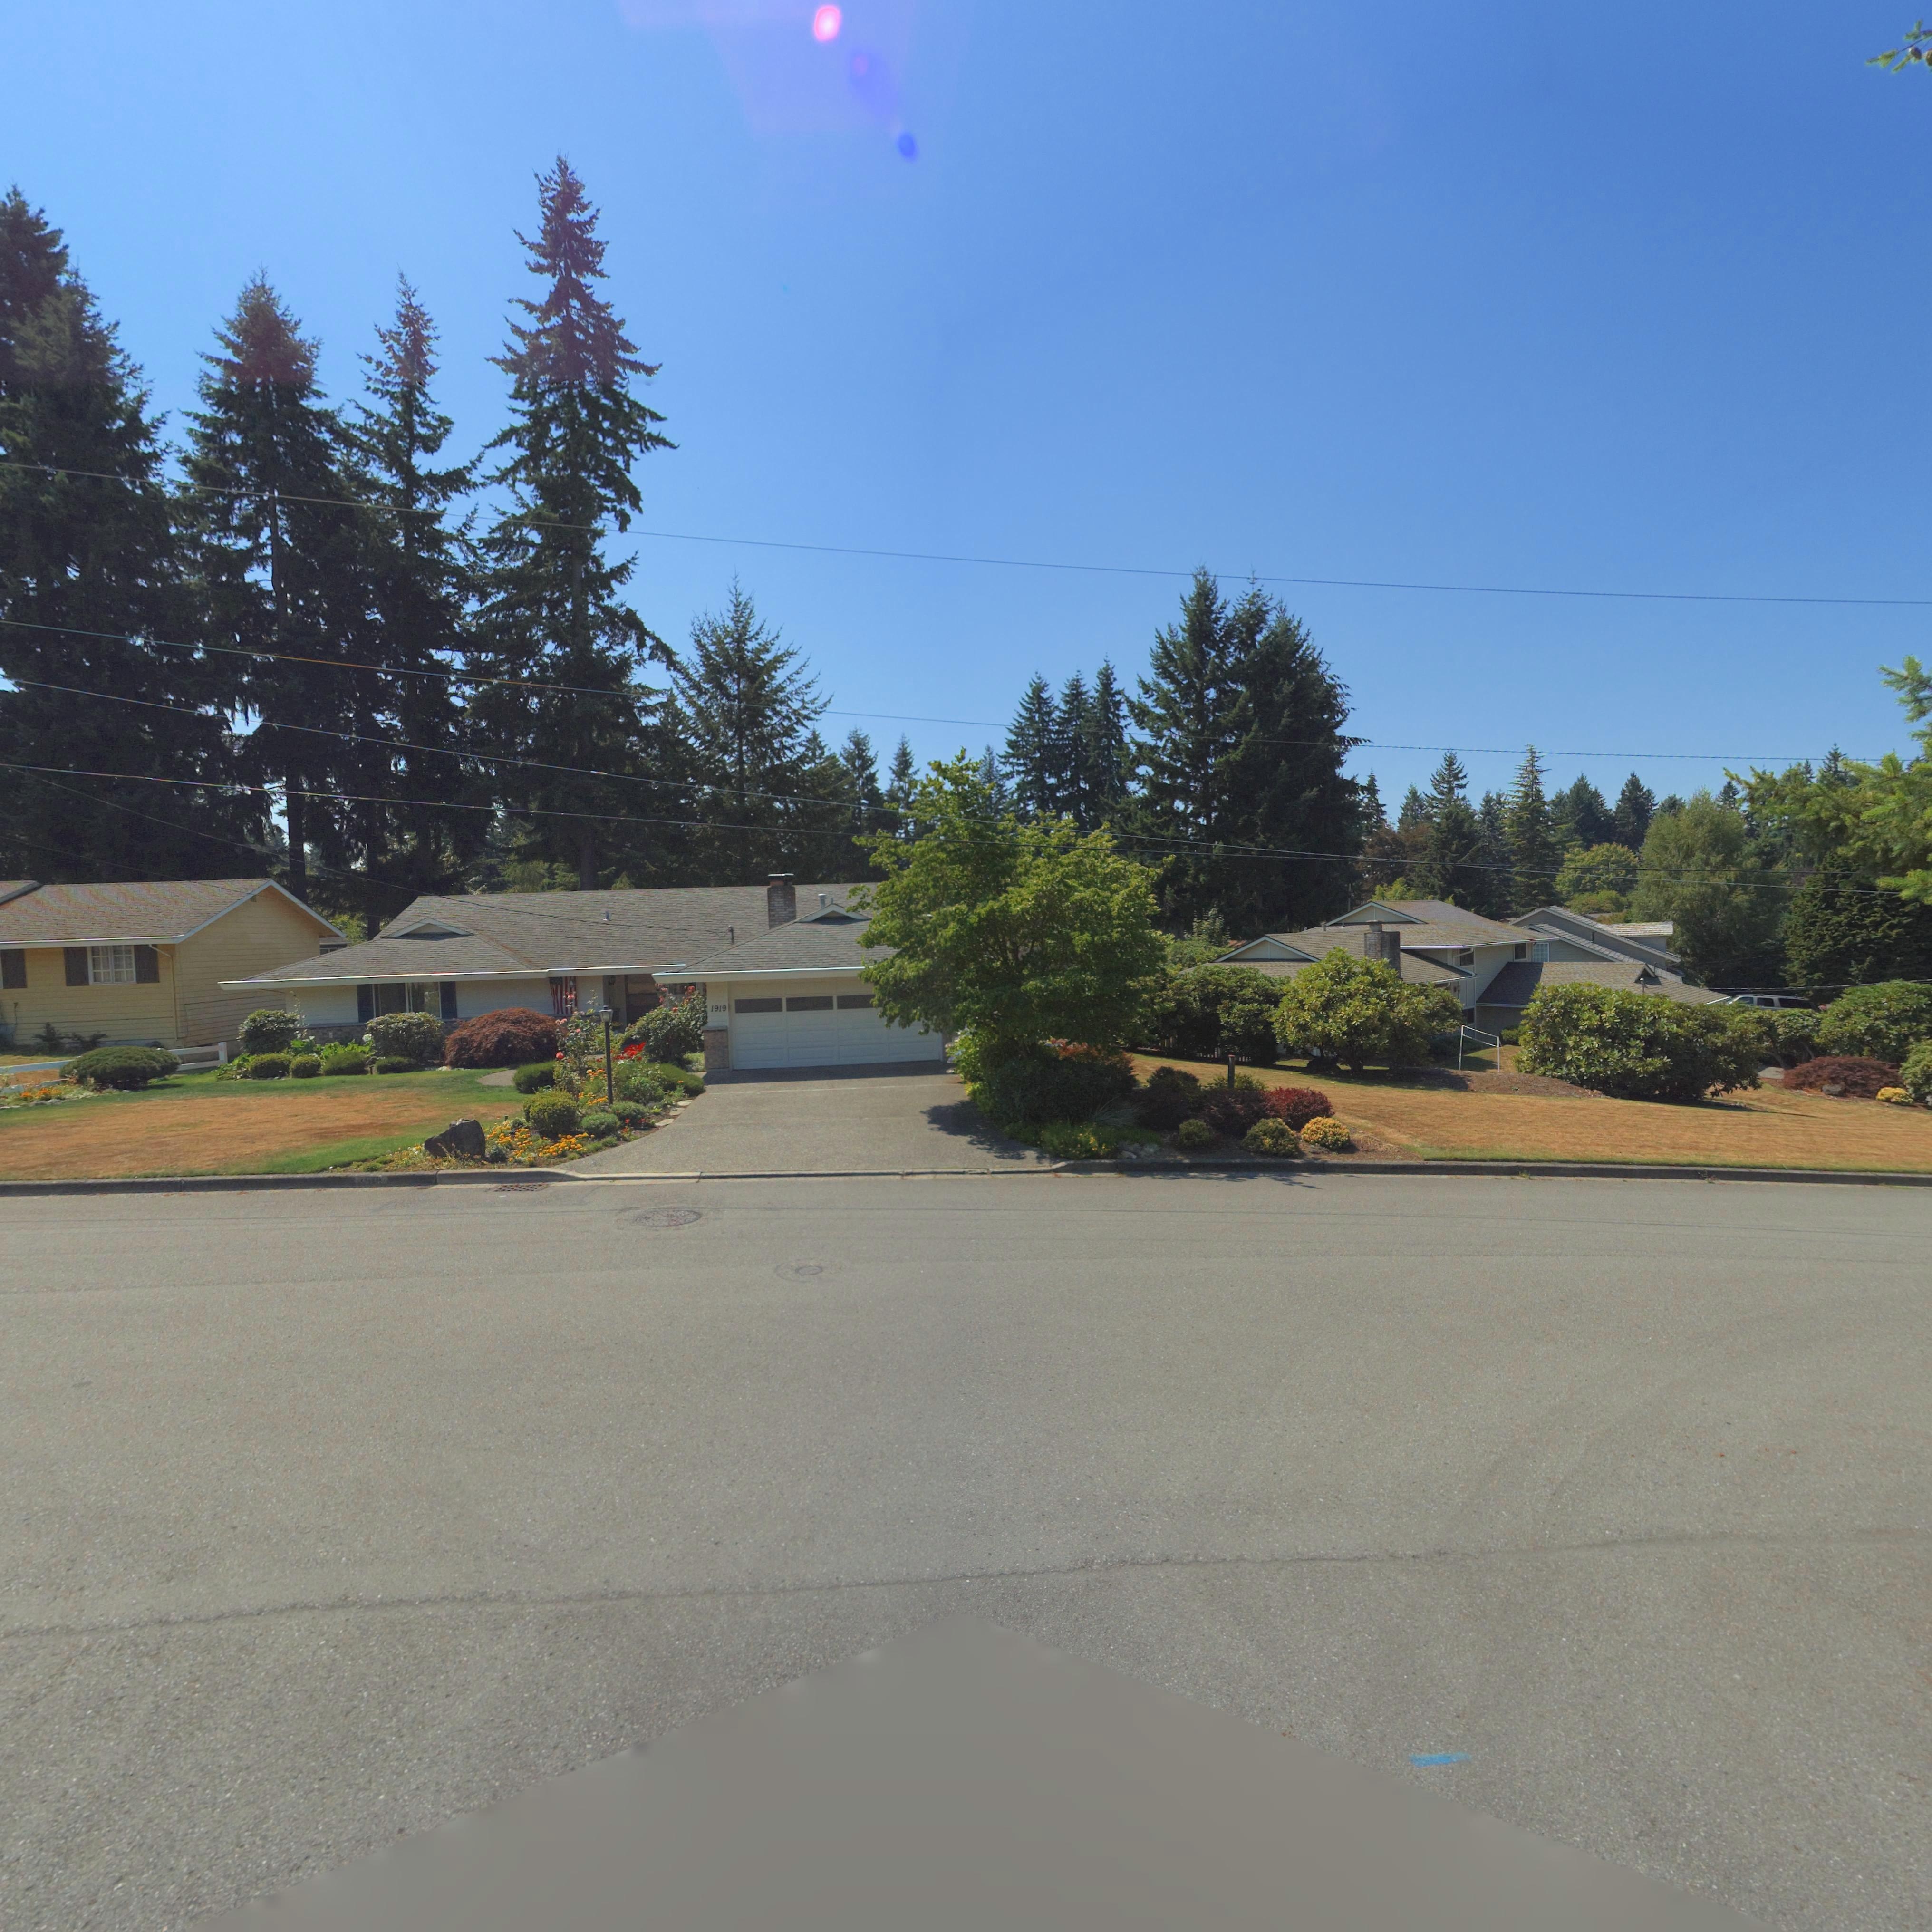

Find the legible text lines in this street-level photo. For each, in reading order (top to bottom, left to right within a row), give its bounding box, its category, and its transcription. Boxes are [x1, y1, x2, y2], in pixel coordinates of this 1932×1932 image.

[709, 1004, 727, 1012] StreetNumber: 1919